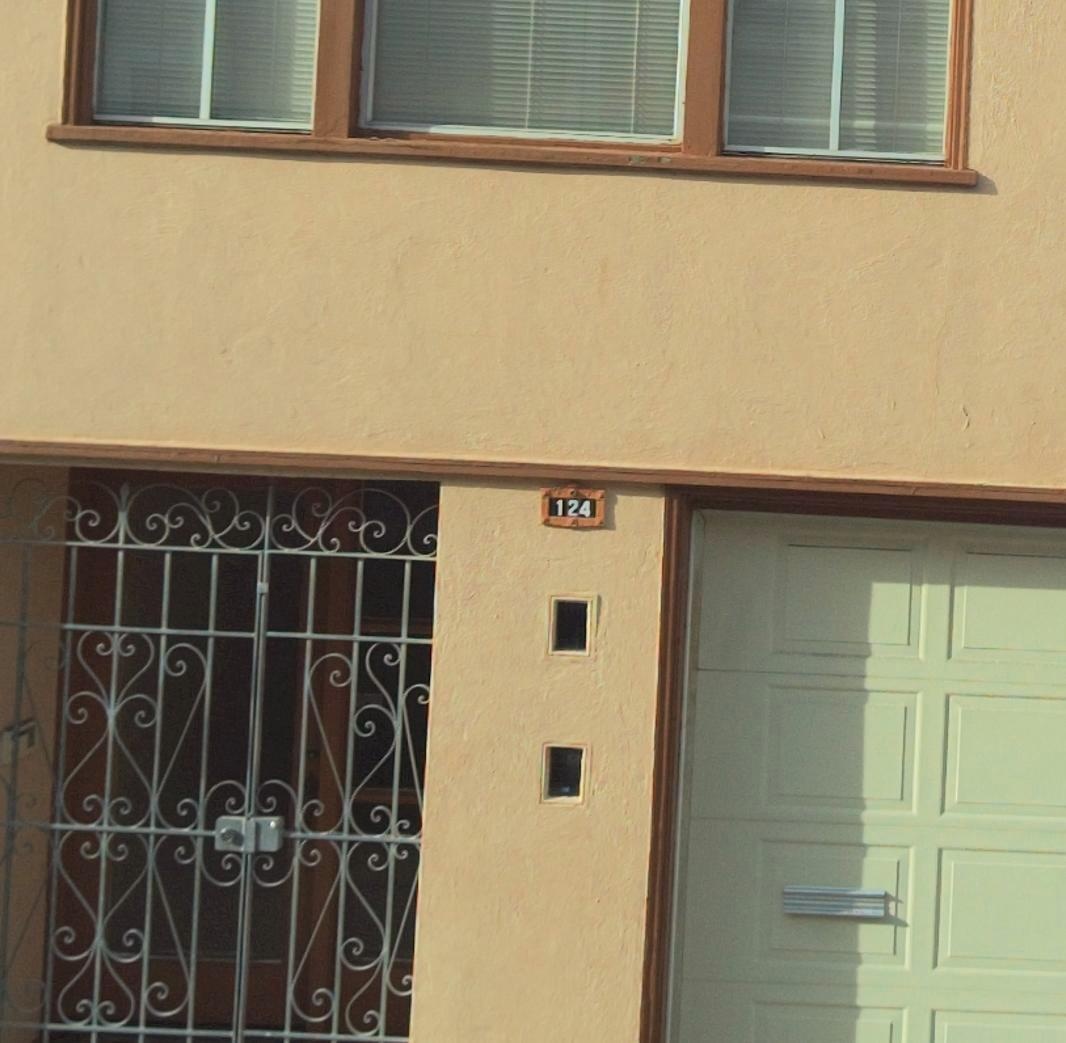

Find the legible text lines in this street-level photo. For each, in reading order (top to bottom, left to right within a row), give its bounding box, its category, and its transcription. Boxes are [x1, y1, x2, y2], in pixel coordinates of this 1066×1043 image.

[553, 496, 594, 520] StreetNumber: 124